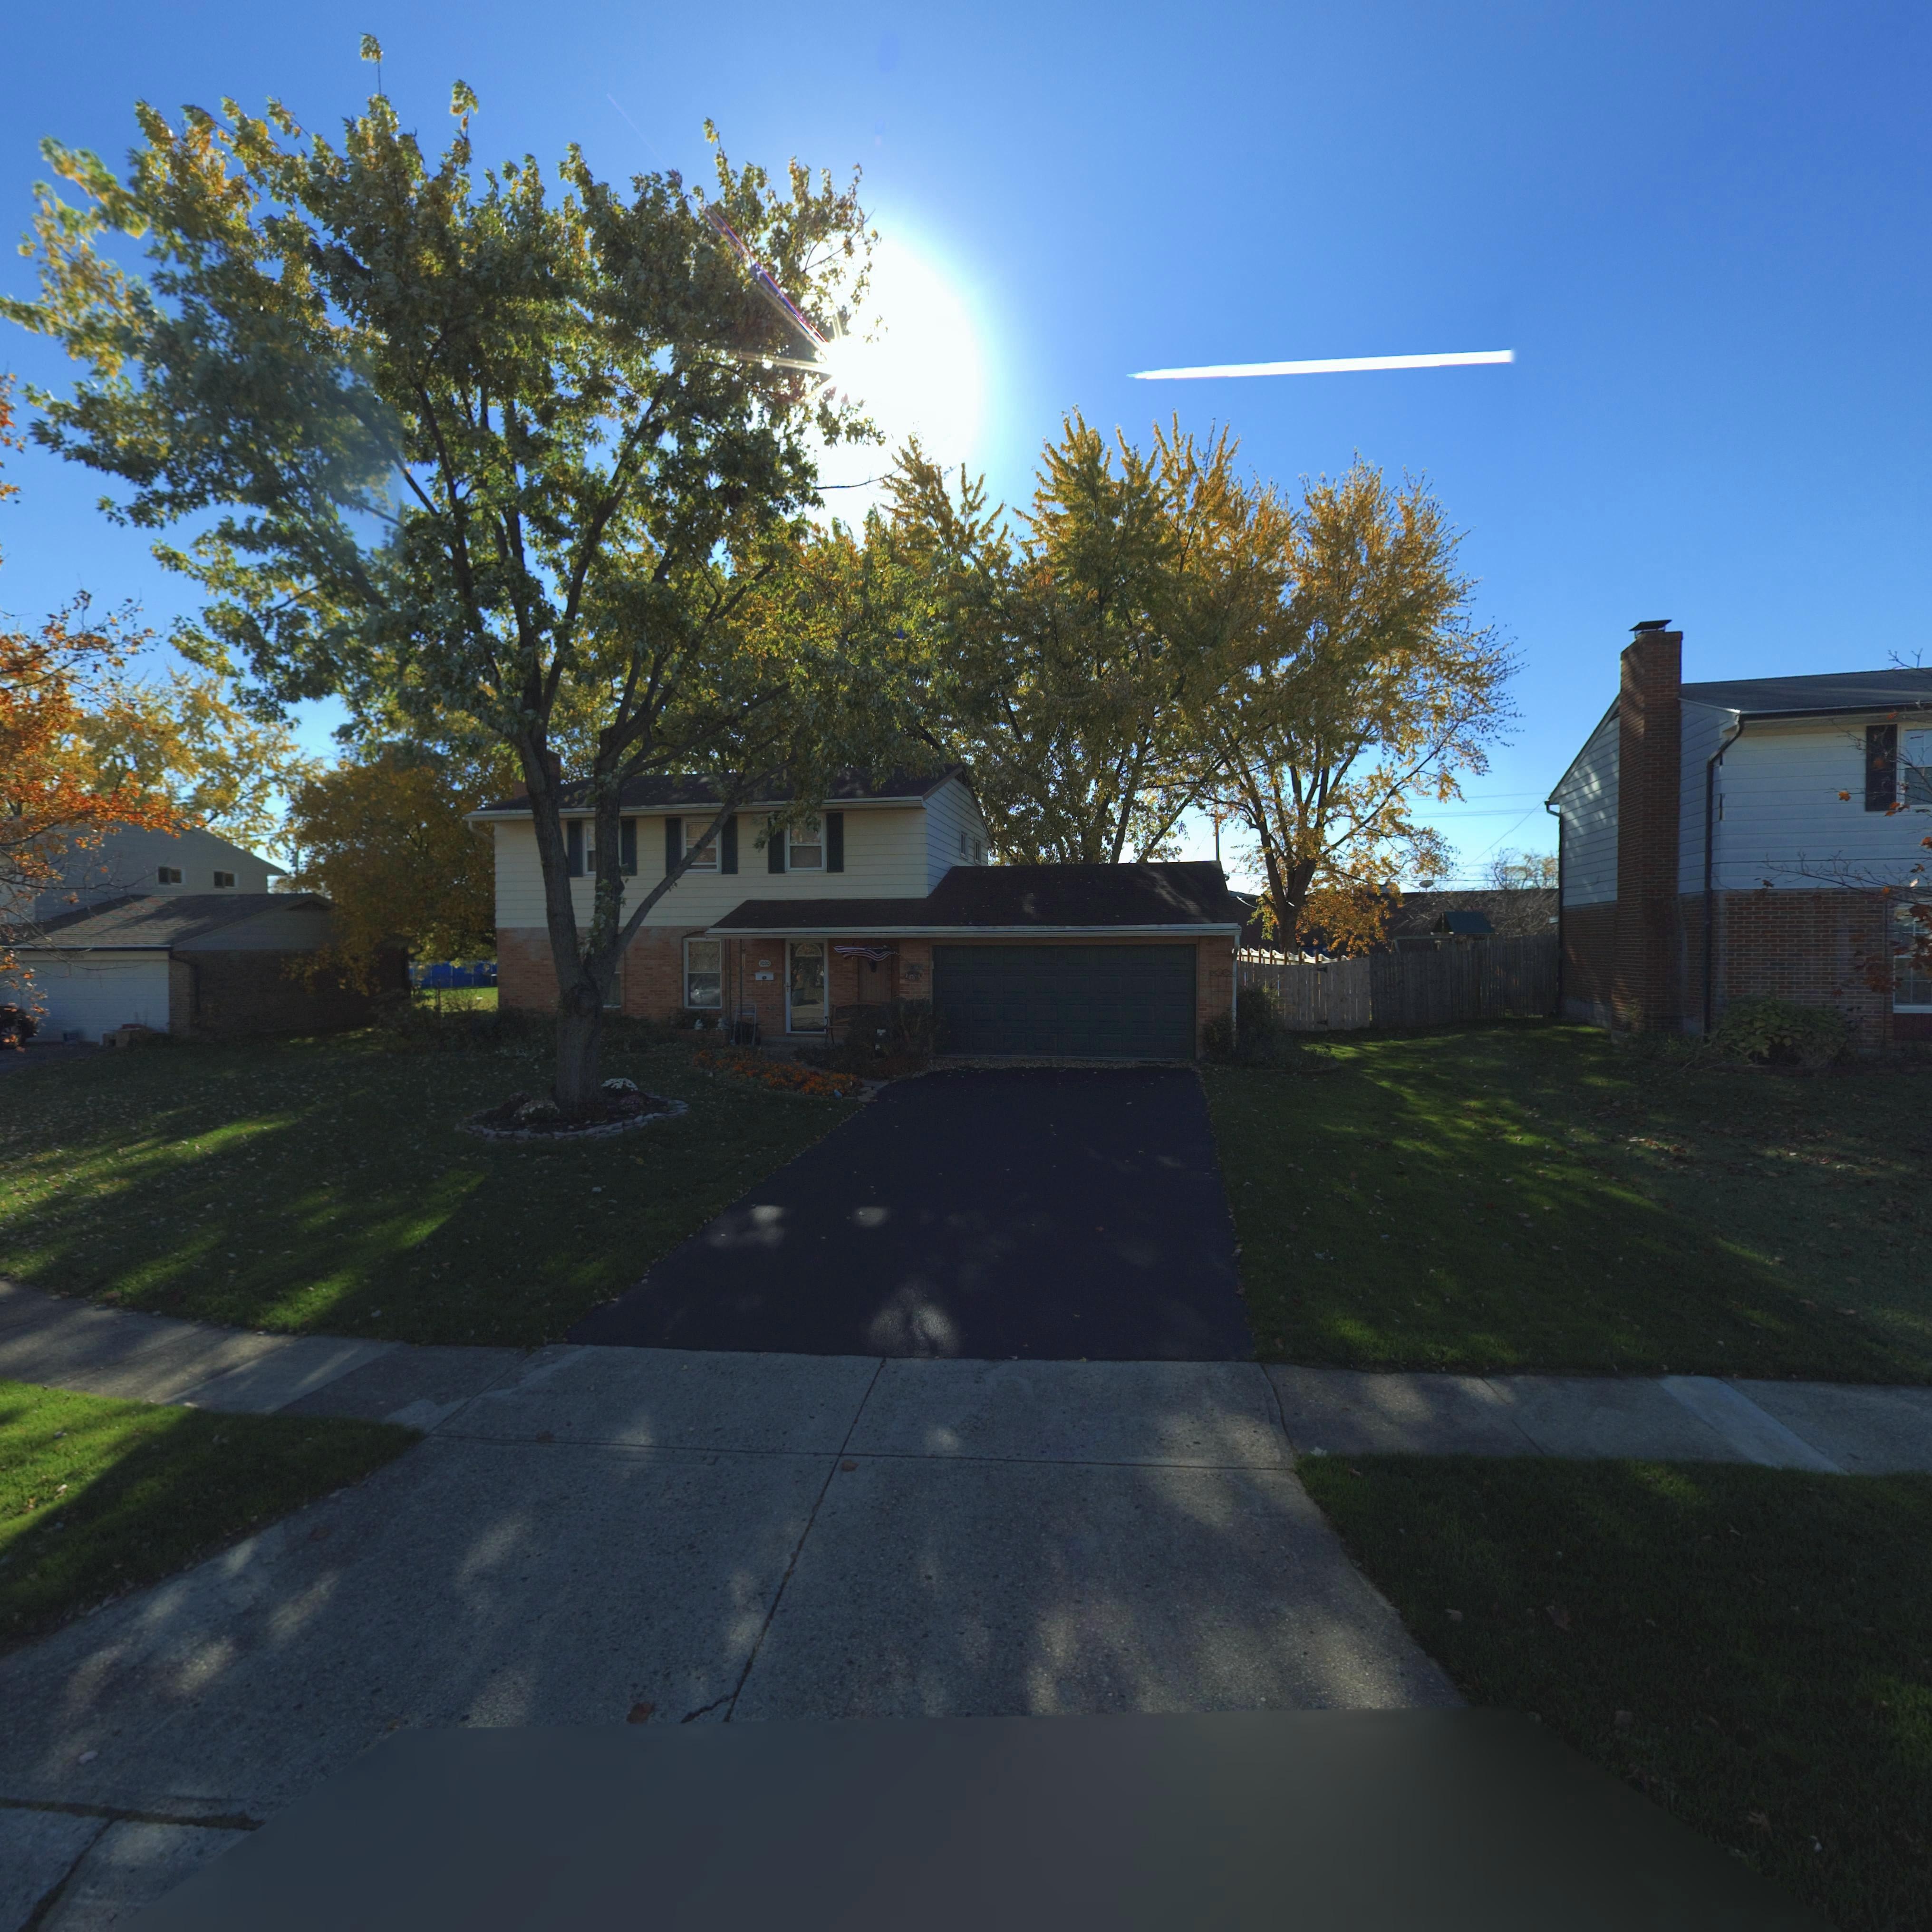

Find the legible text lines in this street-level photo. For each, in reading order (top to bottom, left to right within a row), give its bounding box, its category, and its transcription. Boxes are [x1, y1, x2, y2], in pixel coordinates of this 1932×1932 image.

[759, 961, 770, 966] StreetNumber: 7020